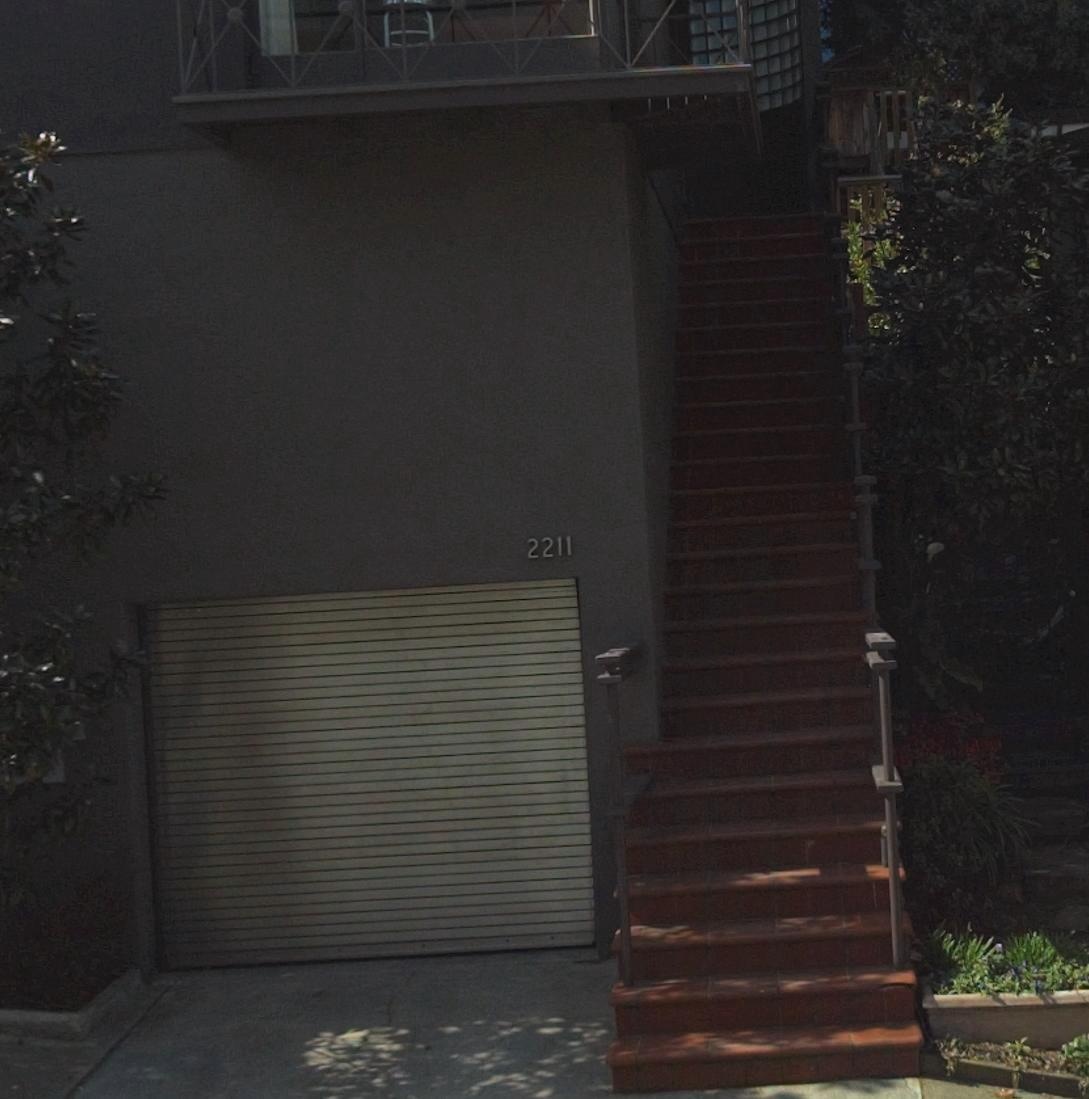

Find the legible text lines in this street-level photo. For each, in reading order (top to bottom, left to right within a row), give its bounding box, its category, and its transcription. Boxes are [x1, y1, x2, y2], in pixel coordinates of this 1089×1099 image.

[525, 533, 574, 561] StreetNumber: 2211